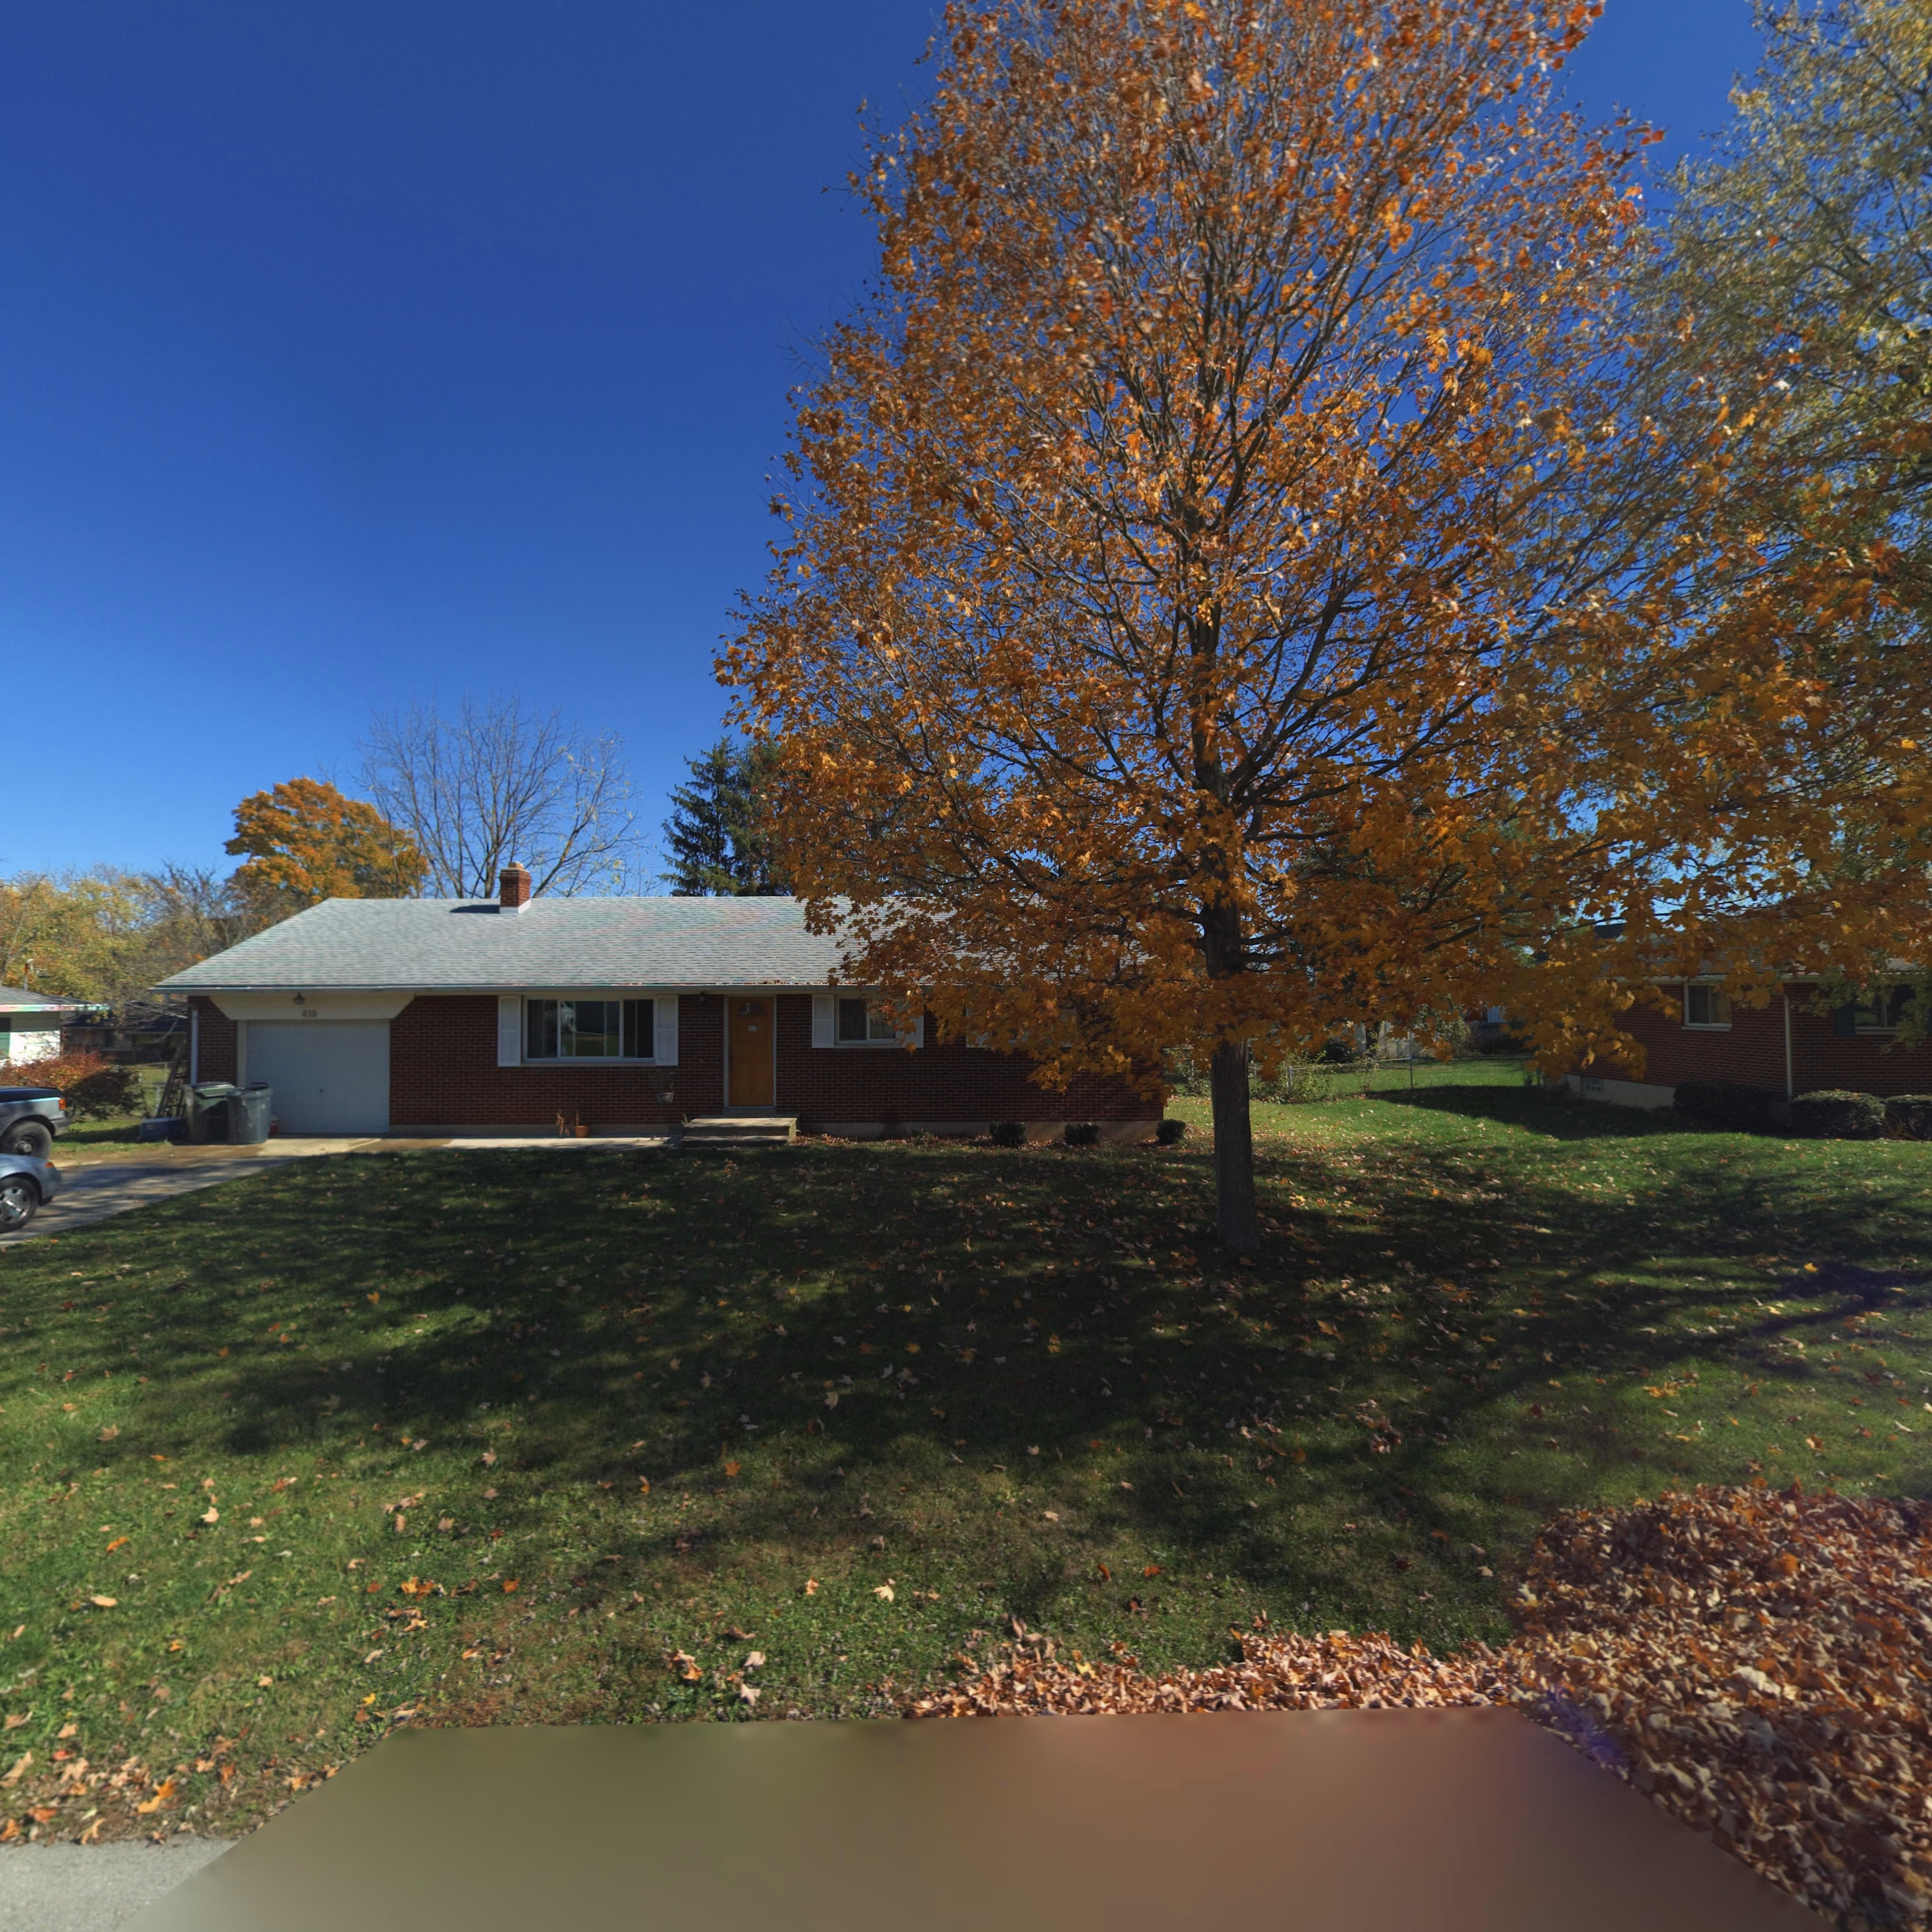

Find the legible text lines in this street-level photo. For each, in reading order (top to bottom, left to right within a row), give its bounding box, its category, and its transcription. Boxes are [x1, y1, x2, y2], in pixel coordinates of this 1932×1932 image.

[301, 1009, 318, 1018] StreetNumber: **0